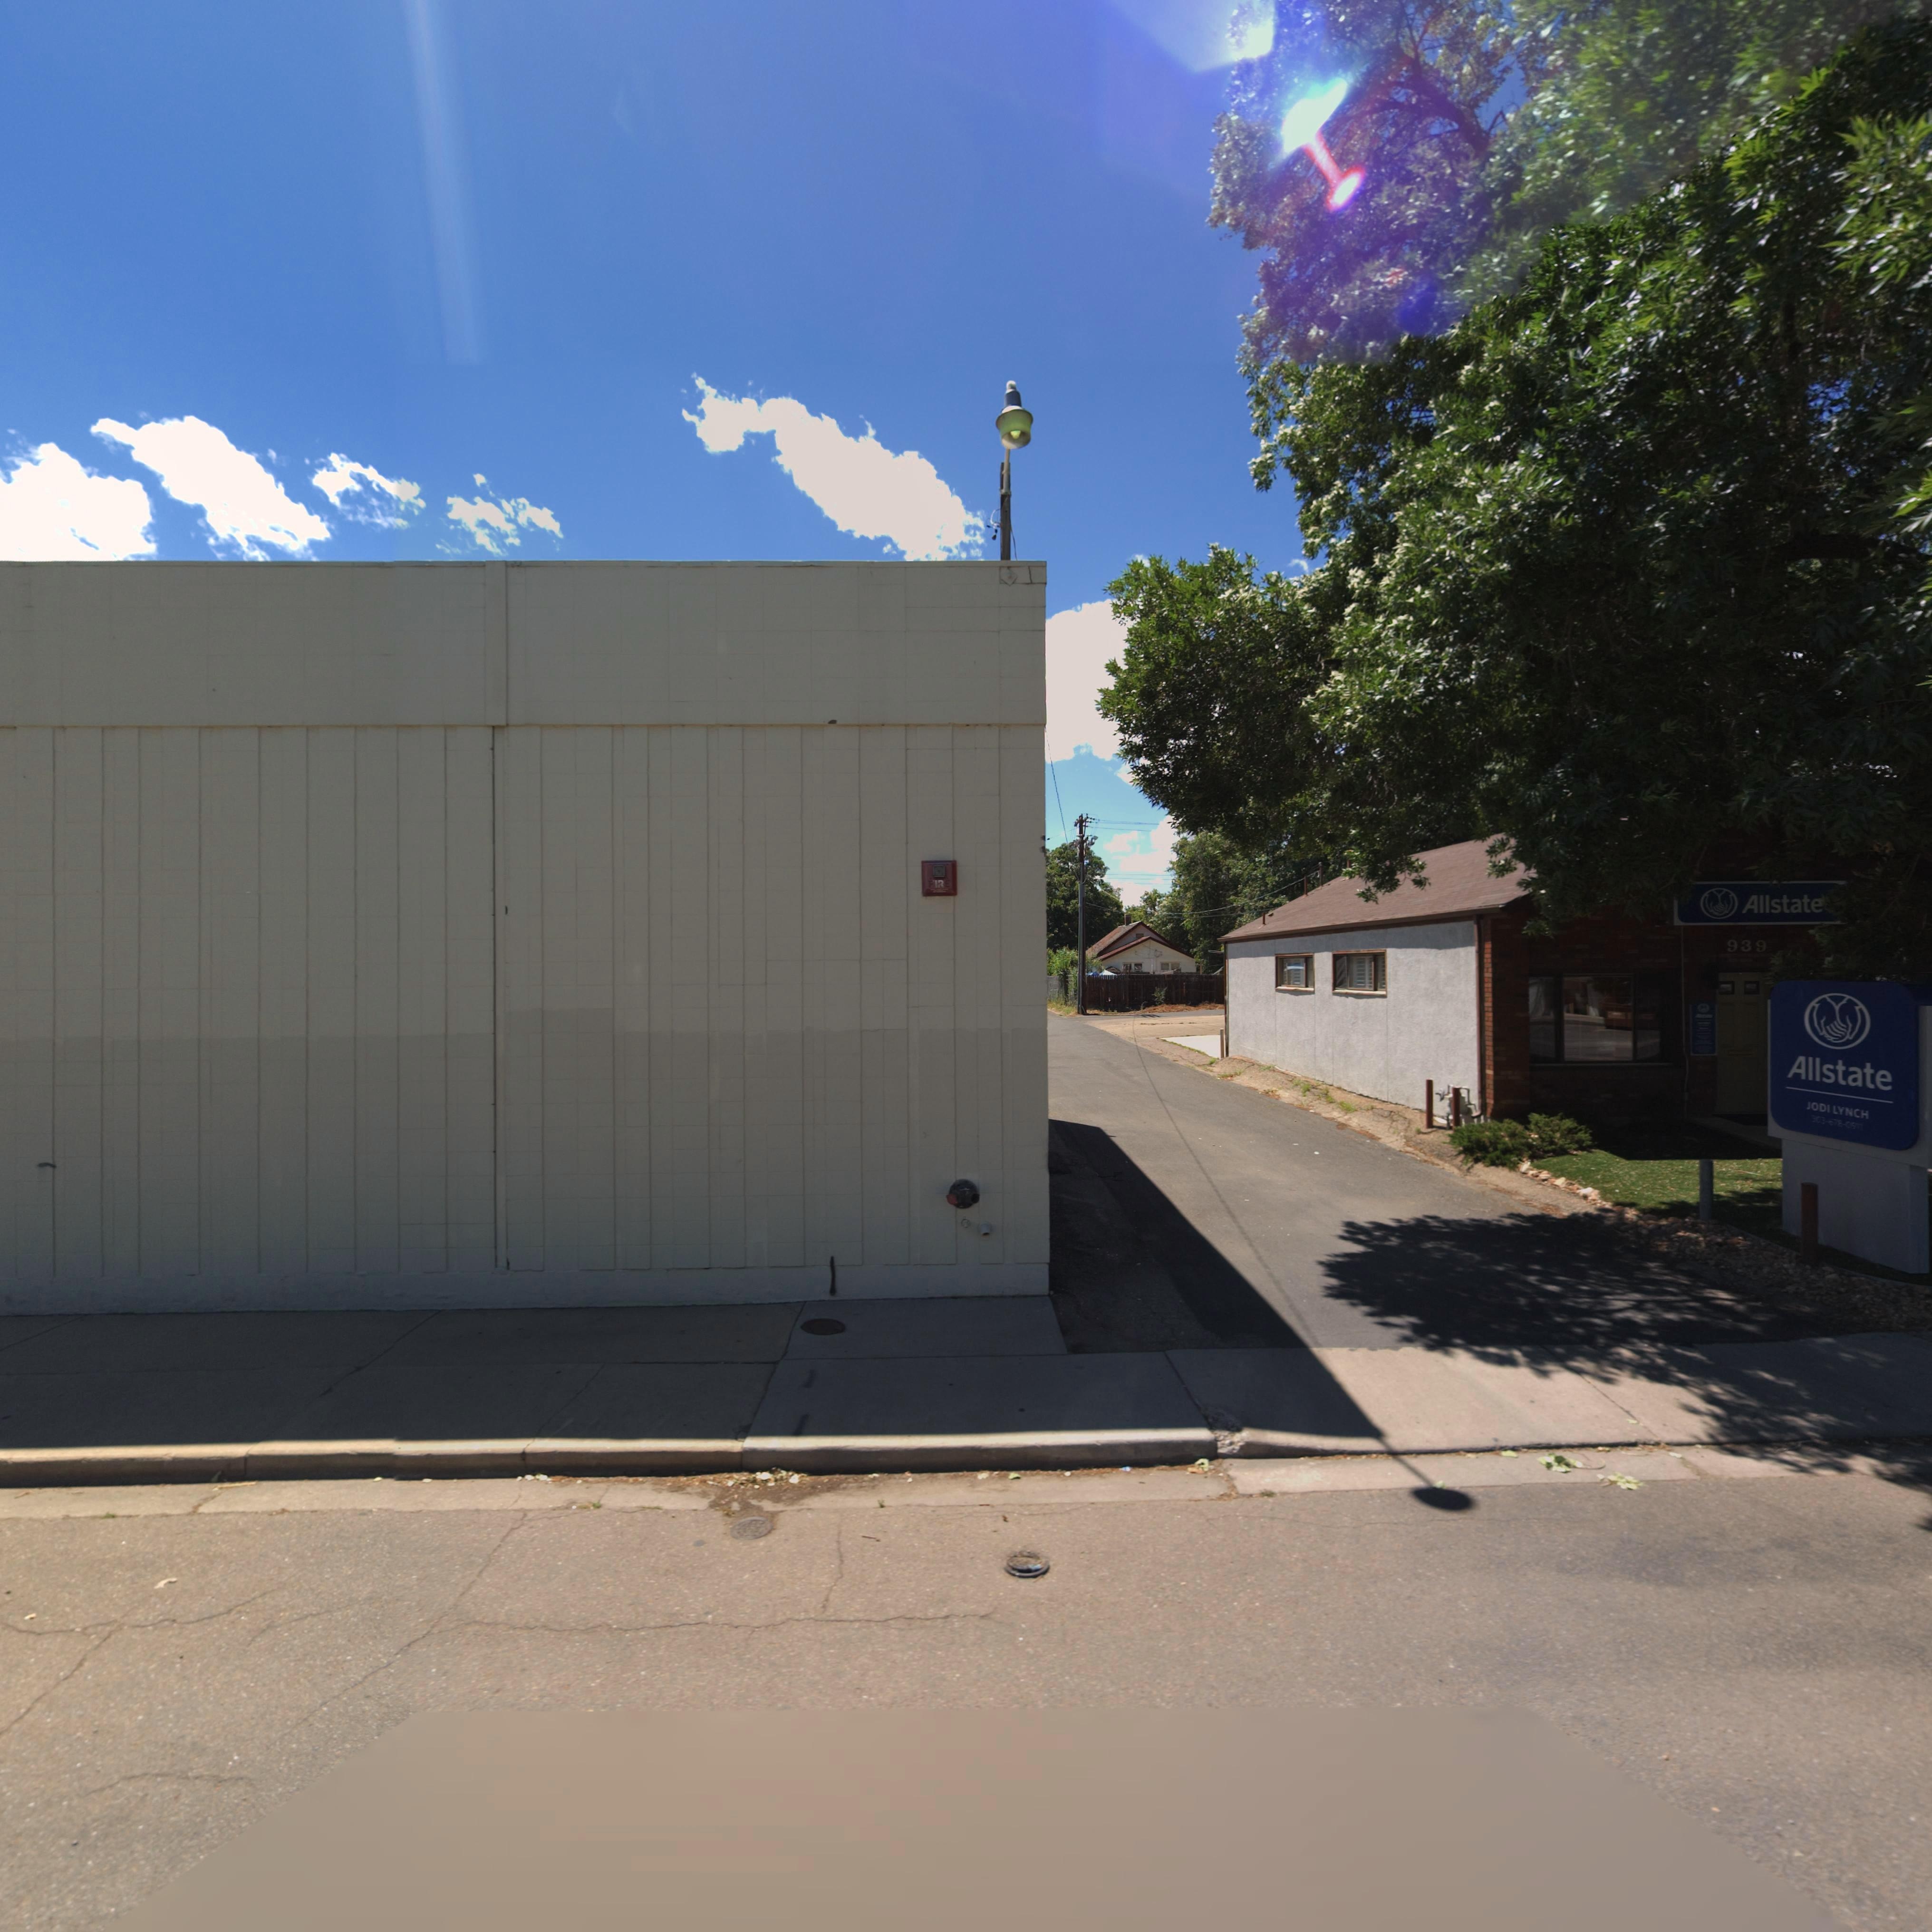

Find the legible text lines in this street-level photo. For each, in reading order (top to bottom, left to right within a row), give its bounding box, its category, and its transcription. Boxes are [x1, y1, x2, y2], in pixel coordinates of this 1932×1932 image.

[1740, 894, 1823, 913] BusinessName: Allstate
[1727, 938, 1767, 952] StreetNumber: 939
[1694, 1013, 1713, 1018] BusinessName: Allstate
[1786, 1054, 1893, 1091] BusinessName: Allstate
[1806, 1101, 1869, 1120] BusinessName: JODI LYNCH